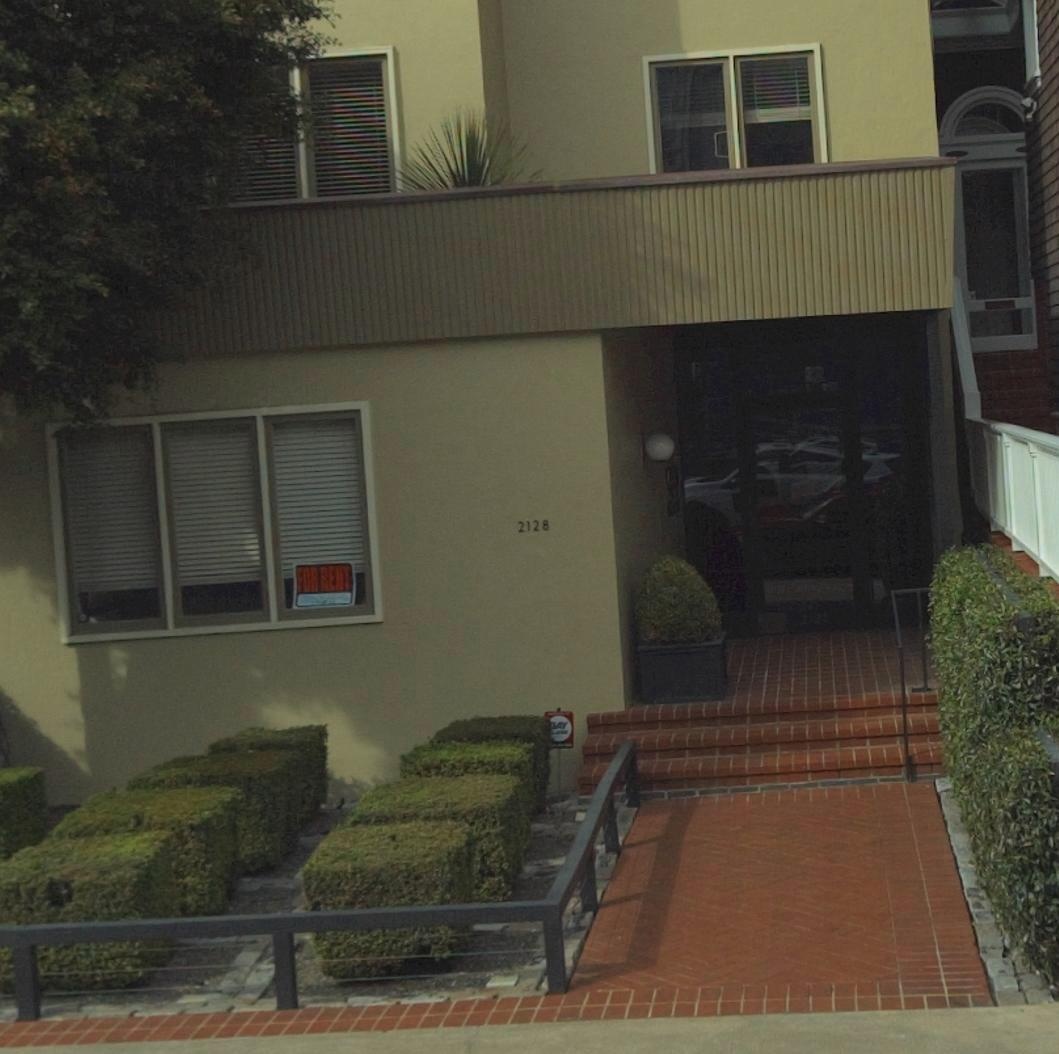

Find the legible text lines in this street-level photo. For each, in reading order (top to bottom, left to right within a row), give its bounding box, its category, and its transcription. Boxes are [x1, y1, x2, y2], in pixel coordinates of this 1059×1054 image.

[515, 517, 552, 536] StreetNumber: 2128
[294, 564, 352, 595] None: FOR RENT
[552, 719, 571, 732] None: AY